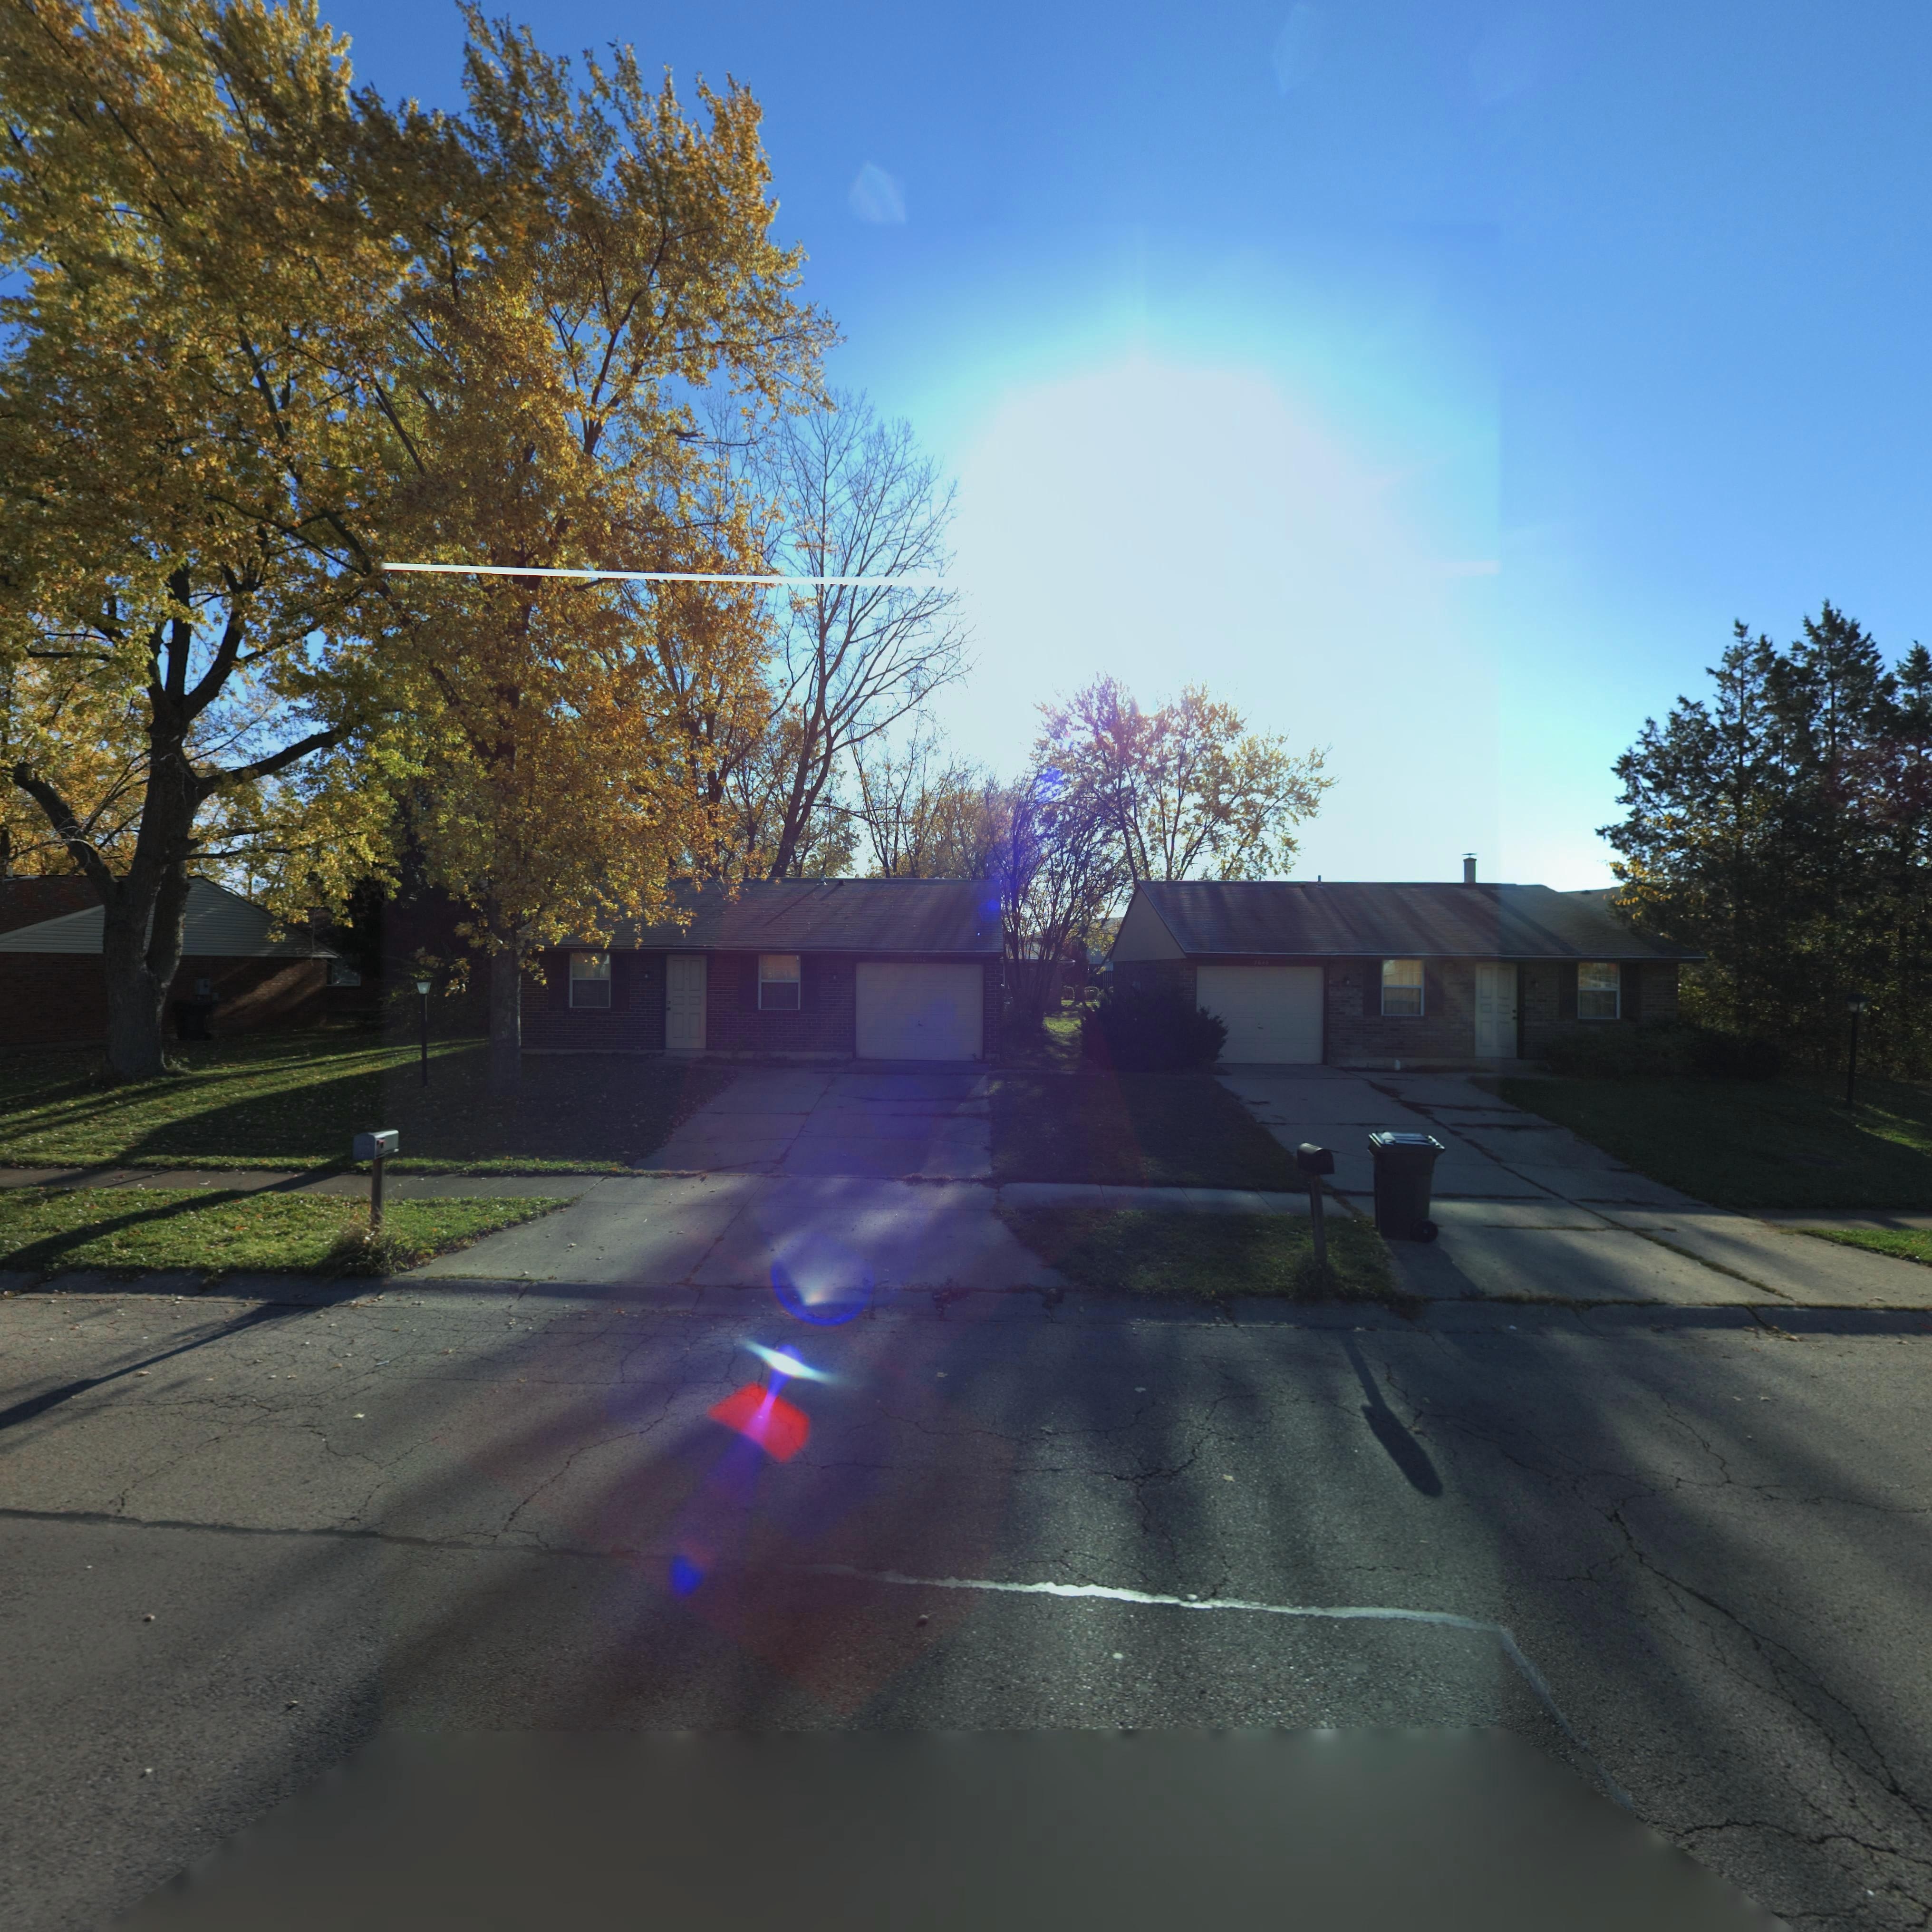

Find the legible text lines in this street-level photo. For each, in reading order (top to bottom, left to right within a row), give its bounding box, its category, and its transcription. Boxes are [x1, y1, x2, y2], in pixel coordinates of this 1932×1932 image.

[911, 956, 927, 964] StreetNumber: 76*0
[1252, 959, 1270, 966] StreetNumber: 76*6